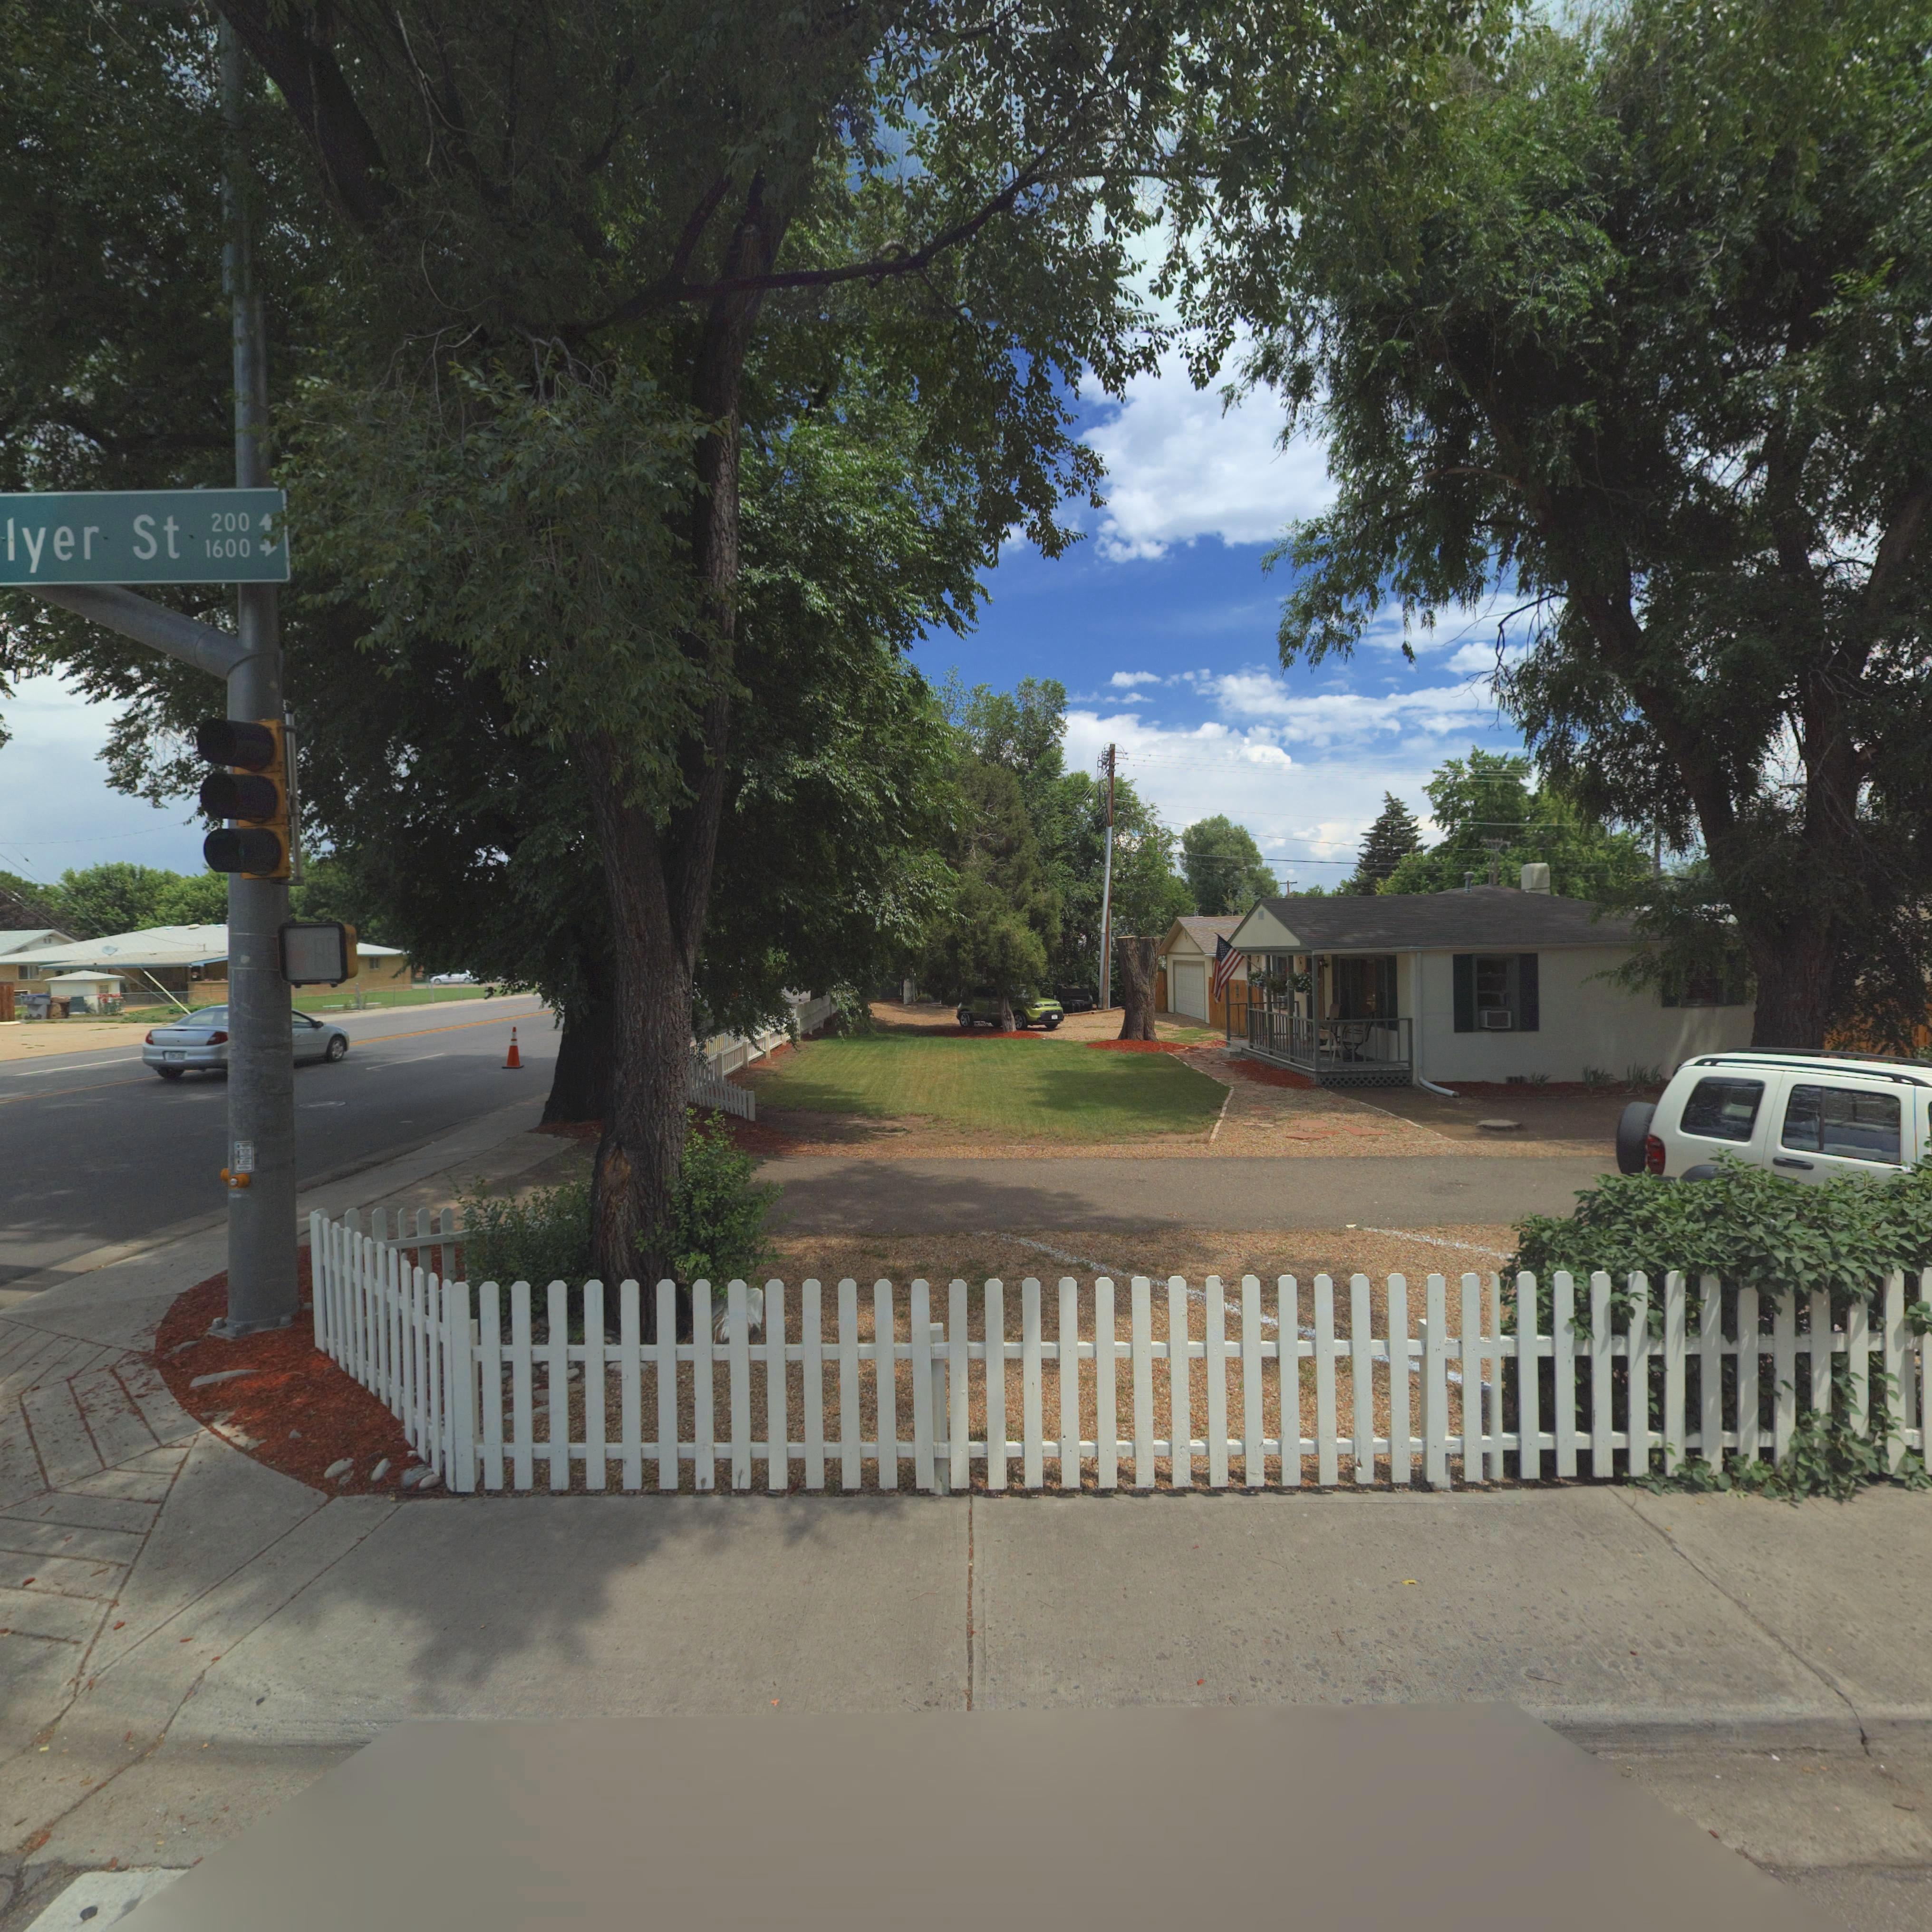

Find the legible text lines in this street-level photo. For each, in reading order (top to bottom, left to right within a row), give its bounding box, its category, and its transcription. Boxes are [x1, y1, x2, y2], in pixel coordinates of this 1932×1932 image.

[209, 512, 278, 532] StreetNumberRange: 200->
[4, 512, 181, 575] StreetName: lyer St
[204, 537, 280, 558] StreetNumberRange: 1600->